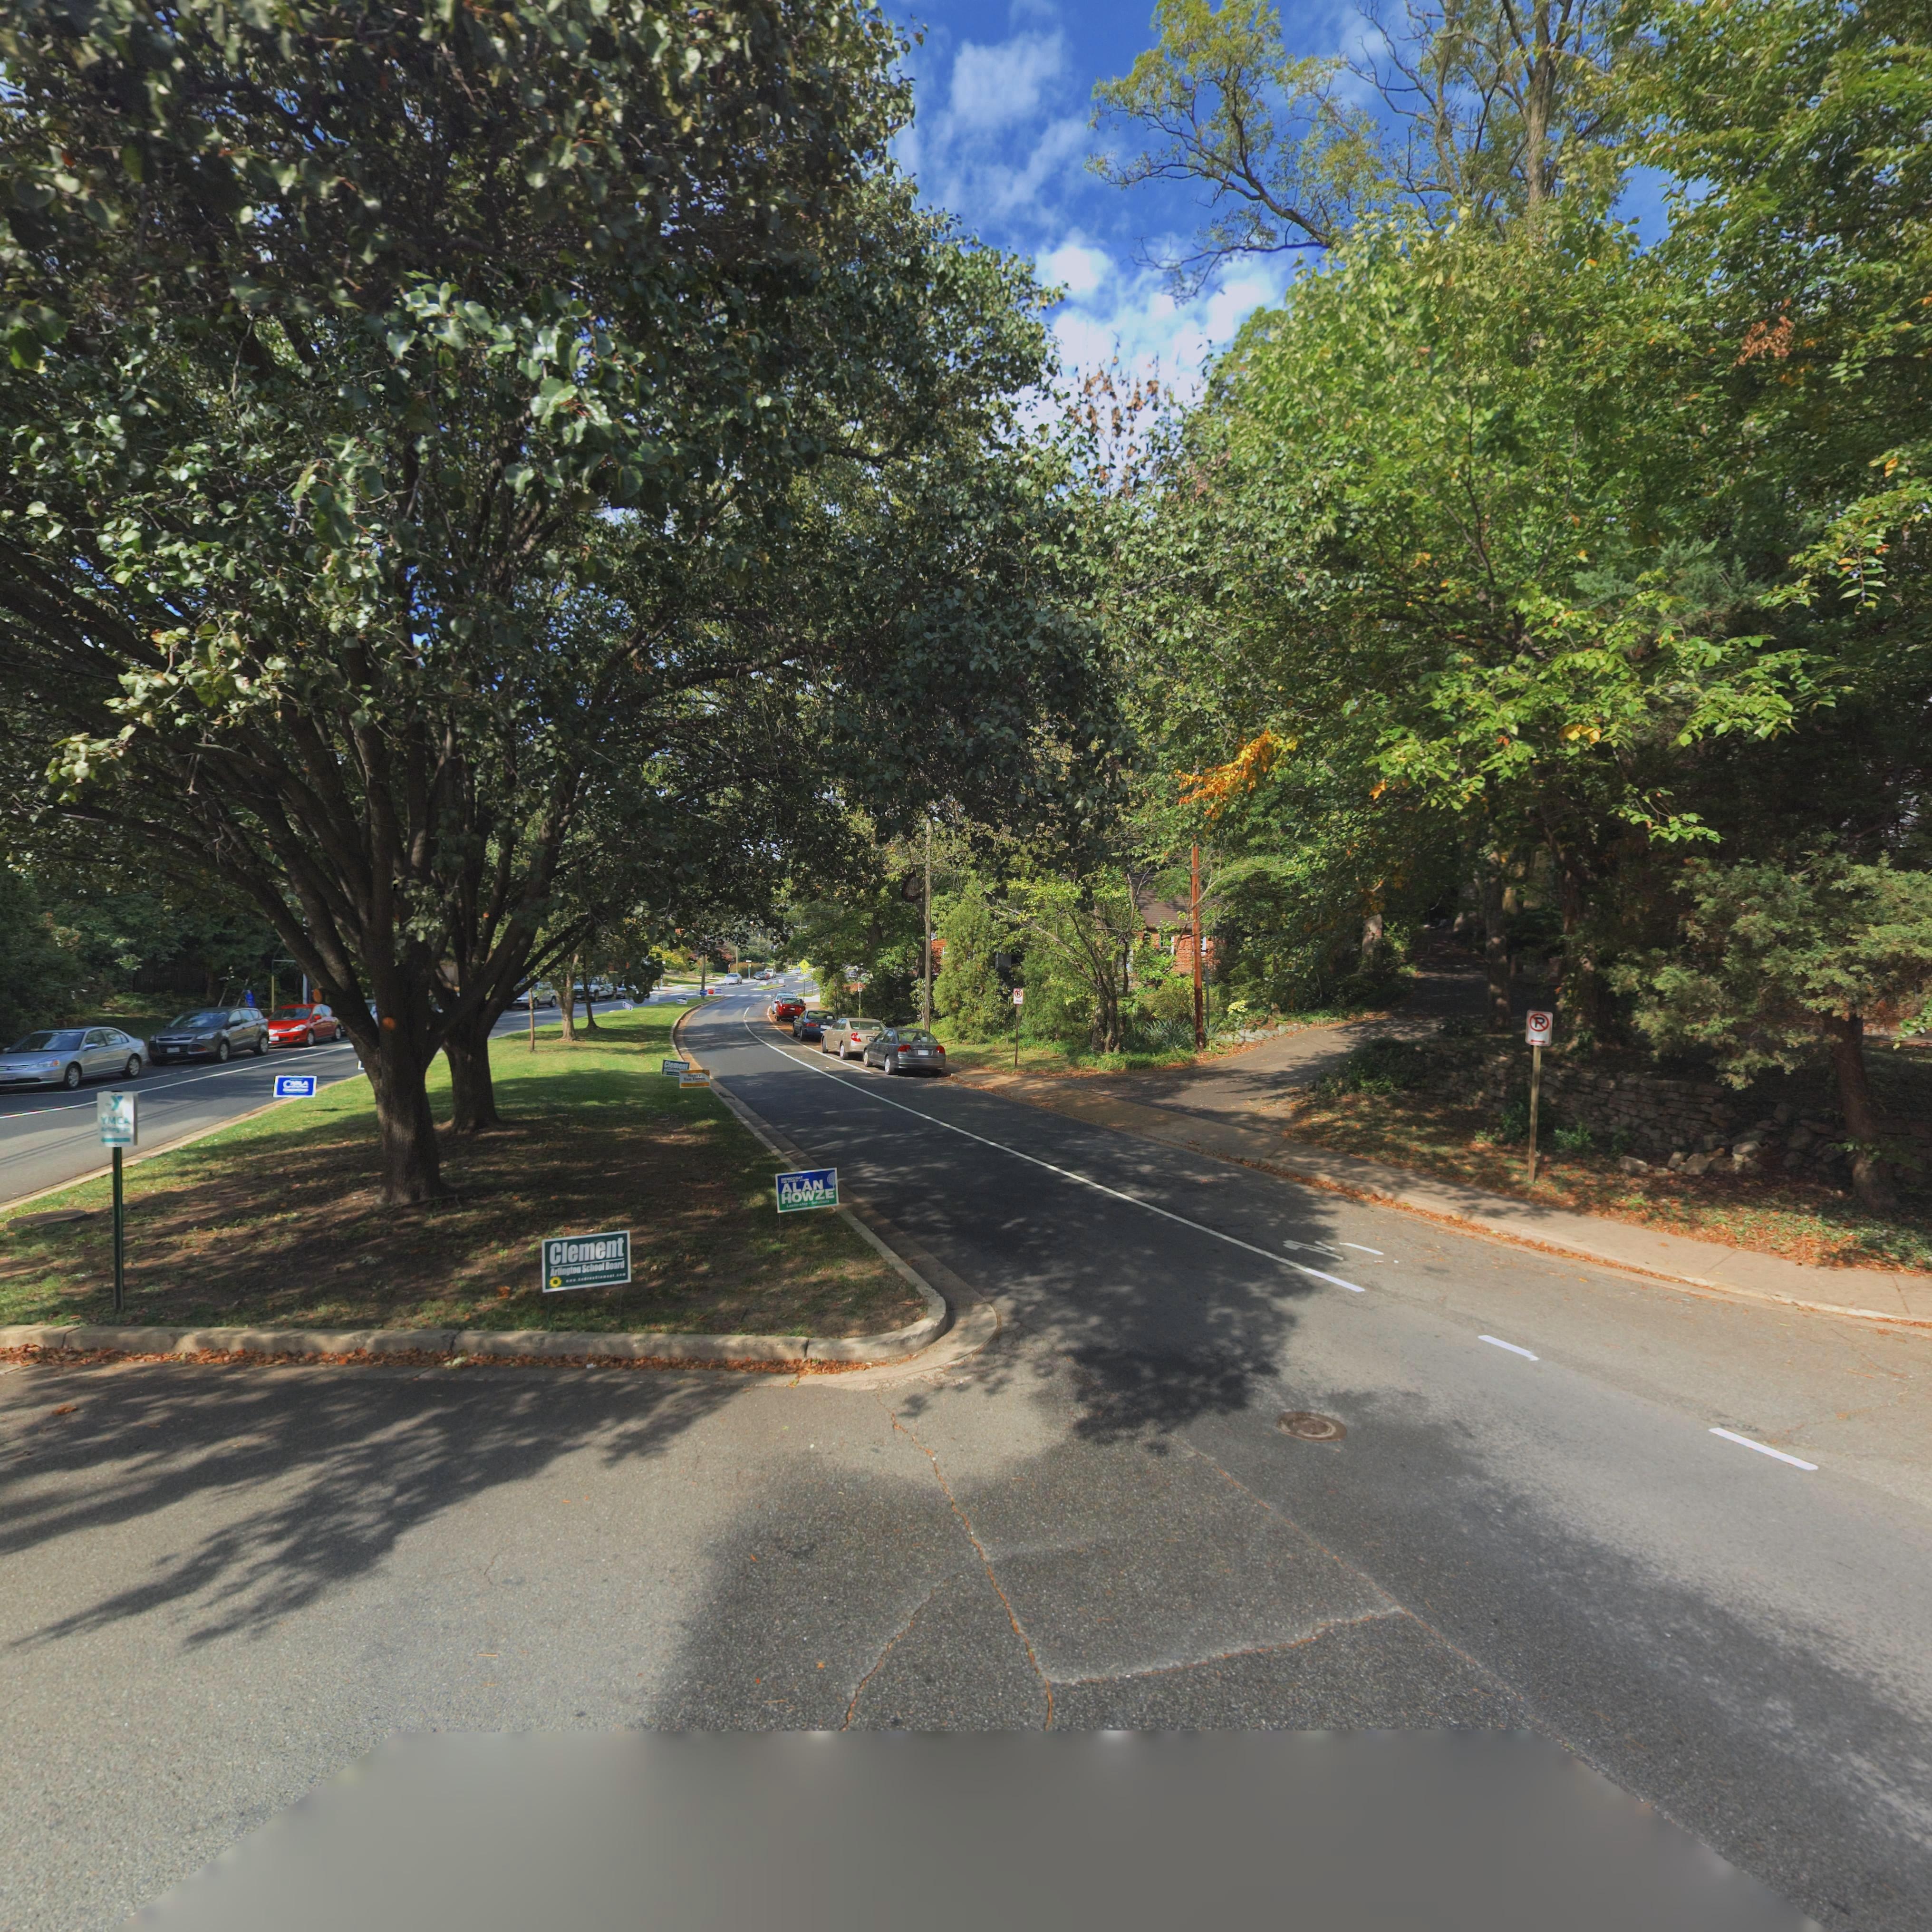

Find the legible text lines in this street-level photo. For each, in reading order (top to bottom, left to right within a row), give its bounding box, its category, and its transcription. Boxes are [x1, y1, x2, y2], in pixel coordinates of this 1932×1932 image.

[663, 1060, 689, 1071] None: Clement
[99, 1115, 133, 1126] None: YMCA
[781, 1178, 824, 1195] None: ALAN
[781, 1187, 835, 1205] None: HOWZE\
[549, 1236, 626, 1267] None: Clement
[549, 1259, 626, 1277] None: Arlington School Board